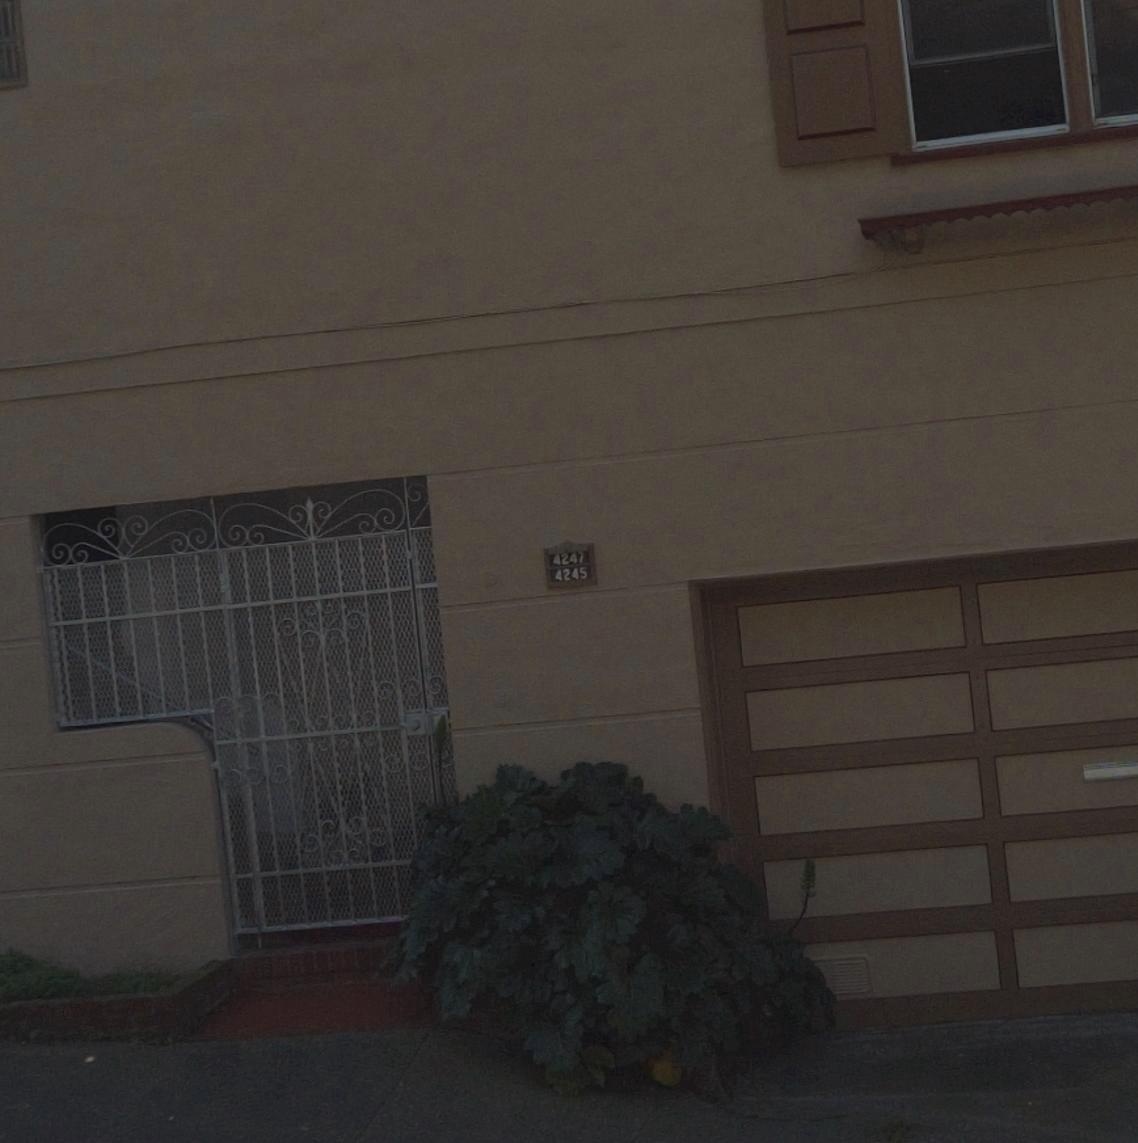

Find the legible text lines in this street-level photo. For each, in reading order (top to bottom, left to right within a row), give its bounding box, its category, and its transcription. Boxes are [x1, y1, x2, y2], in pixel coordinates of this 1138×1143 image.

[551, 548, 587, 567] StreetNumber: 4247
[553, 565, 589, 583] StreetNumber: 4245